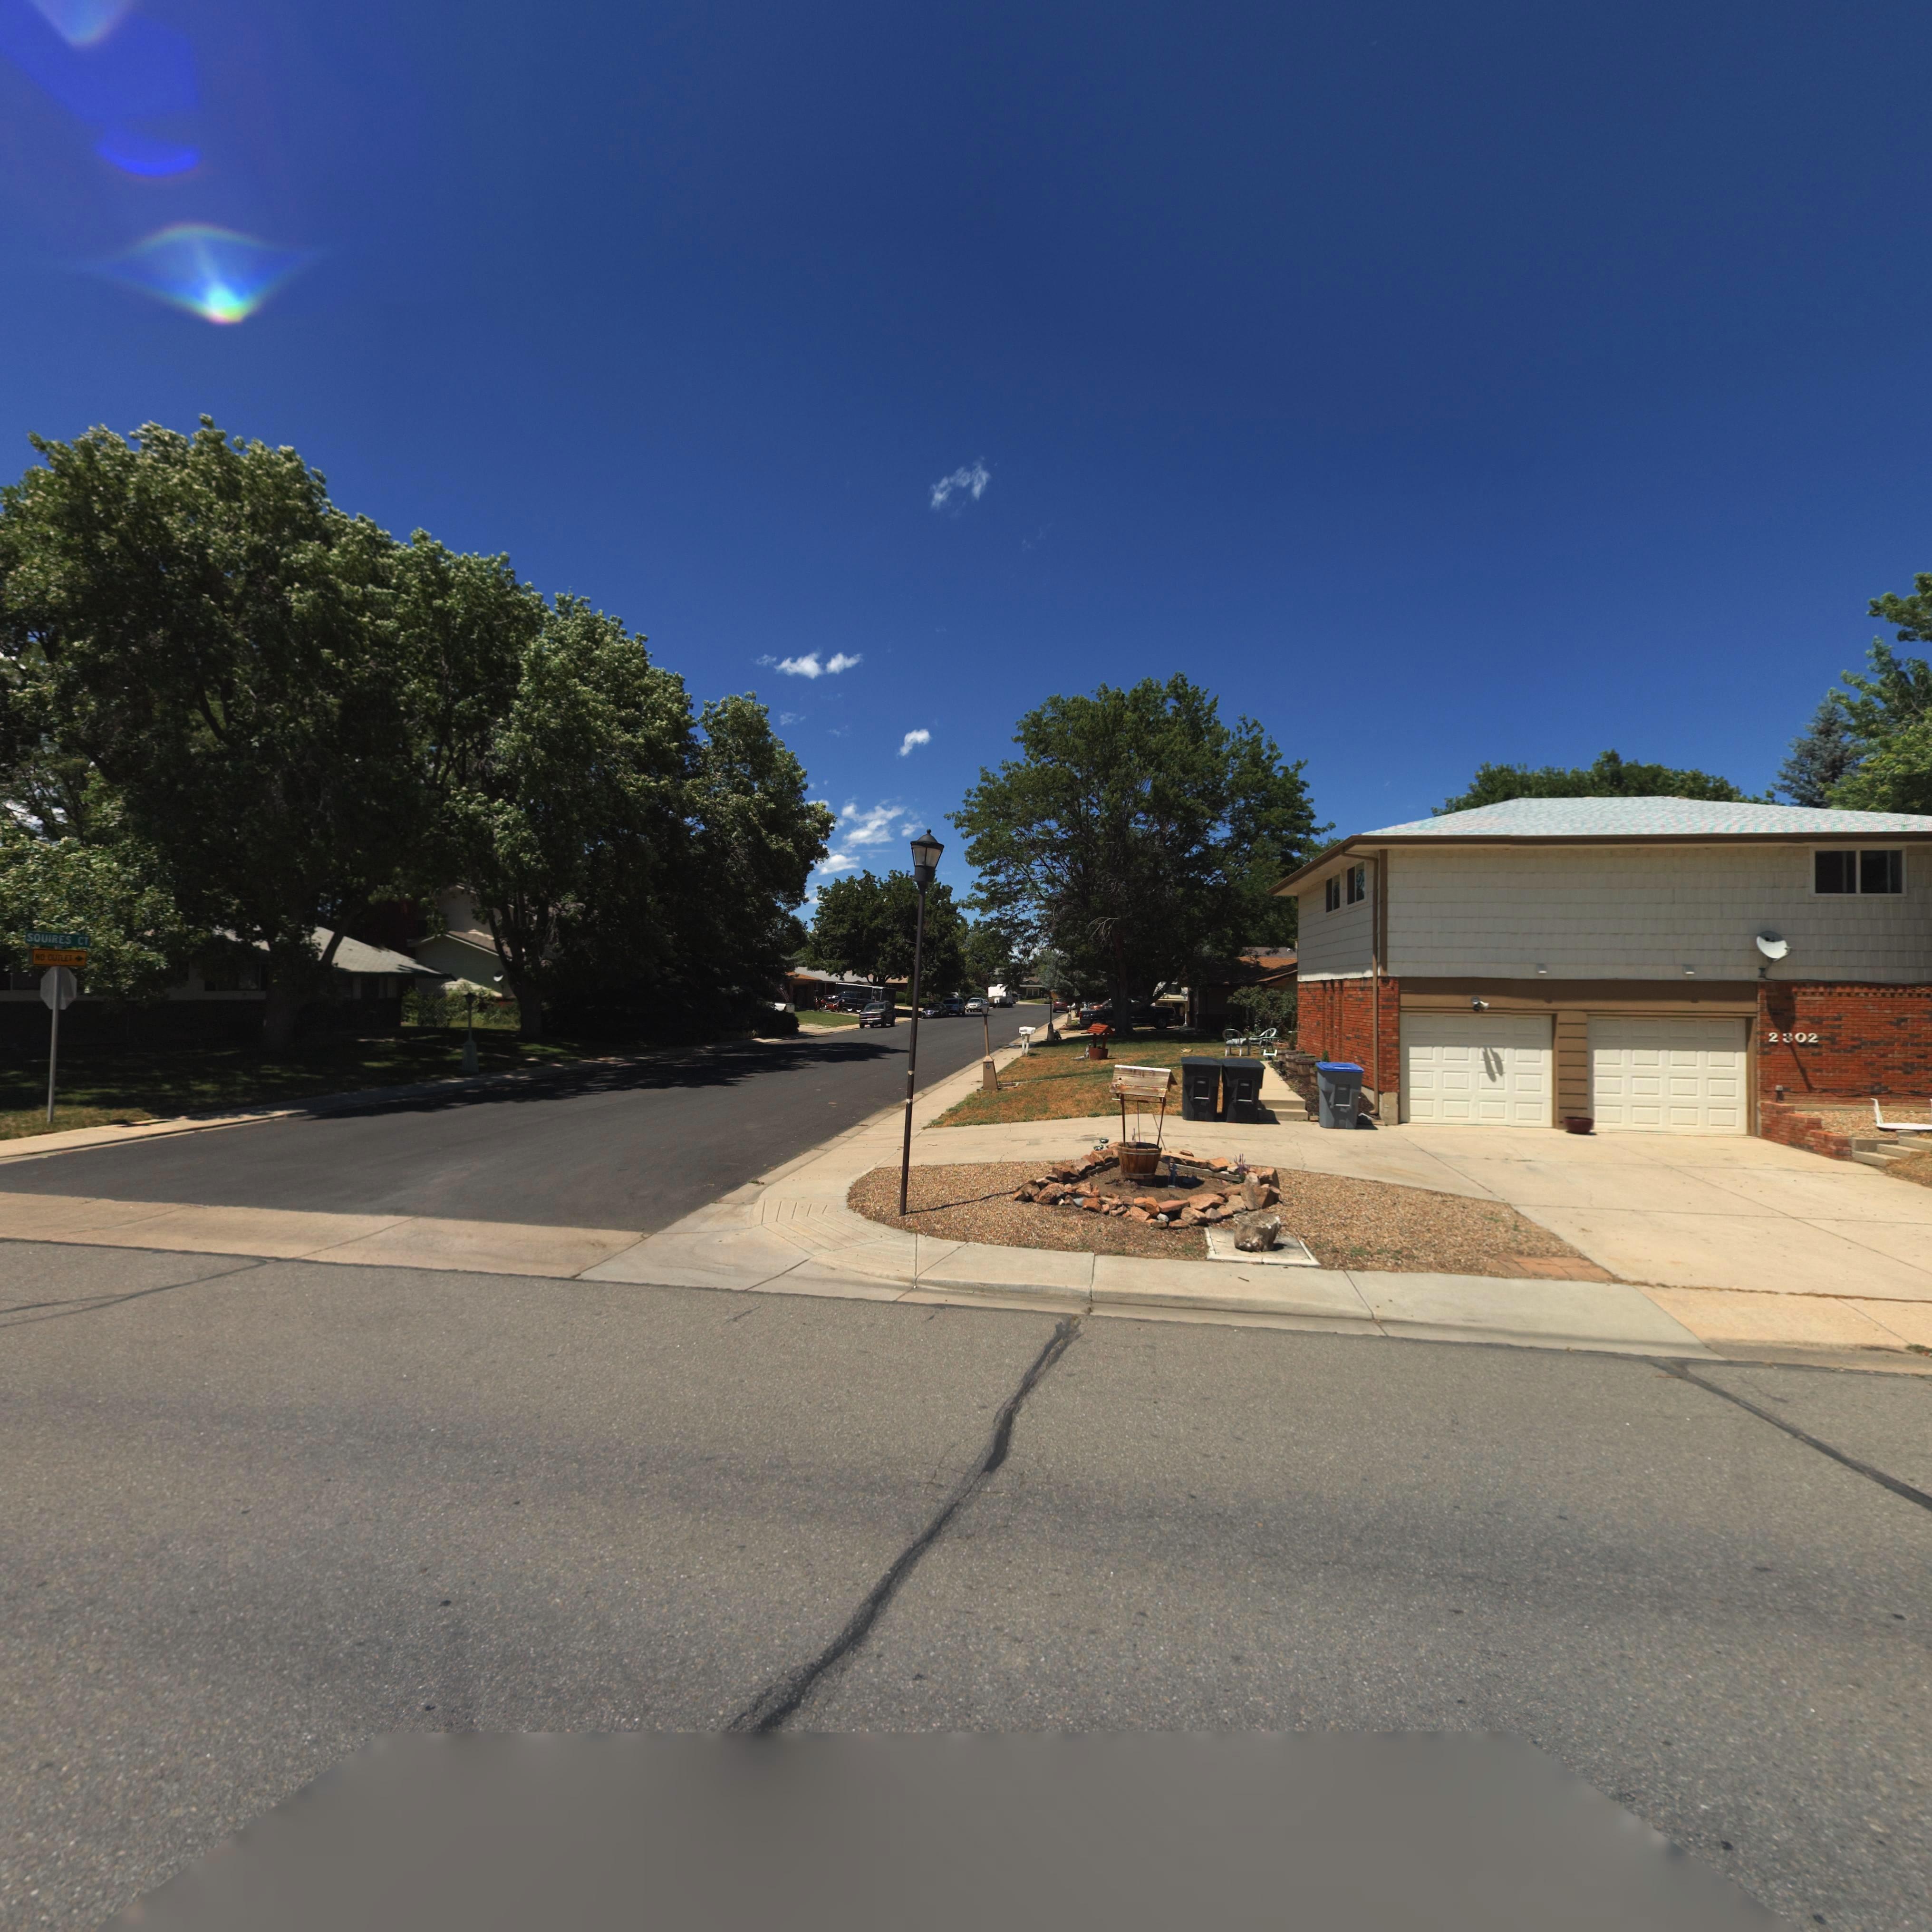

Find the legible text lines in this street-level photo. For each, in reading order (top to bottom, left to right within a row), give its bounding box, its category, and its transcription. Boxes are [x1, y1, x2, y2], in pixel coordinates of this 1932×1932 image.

[25, 930, 90, 946] StreetName: SQUIRES CT
[34, 952, 74, 963] None: NO OUTLET
[1767, 1030, 1819, 1044] StreetNumber: 2302